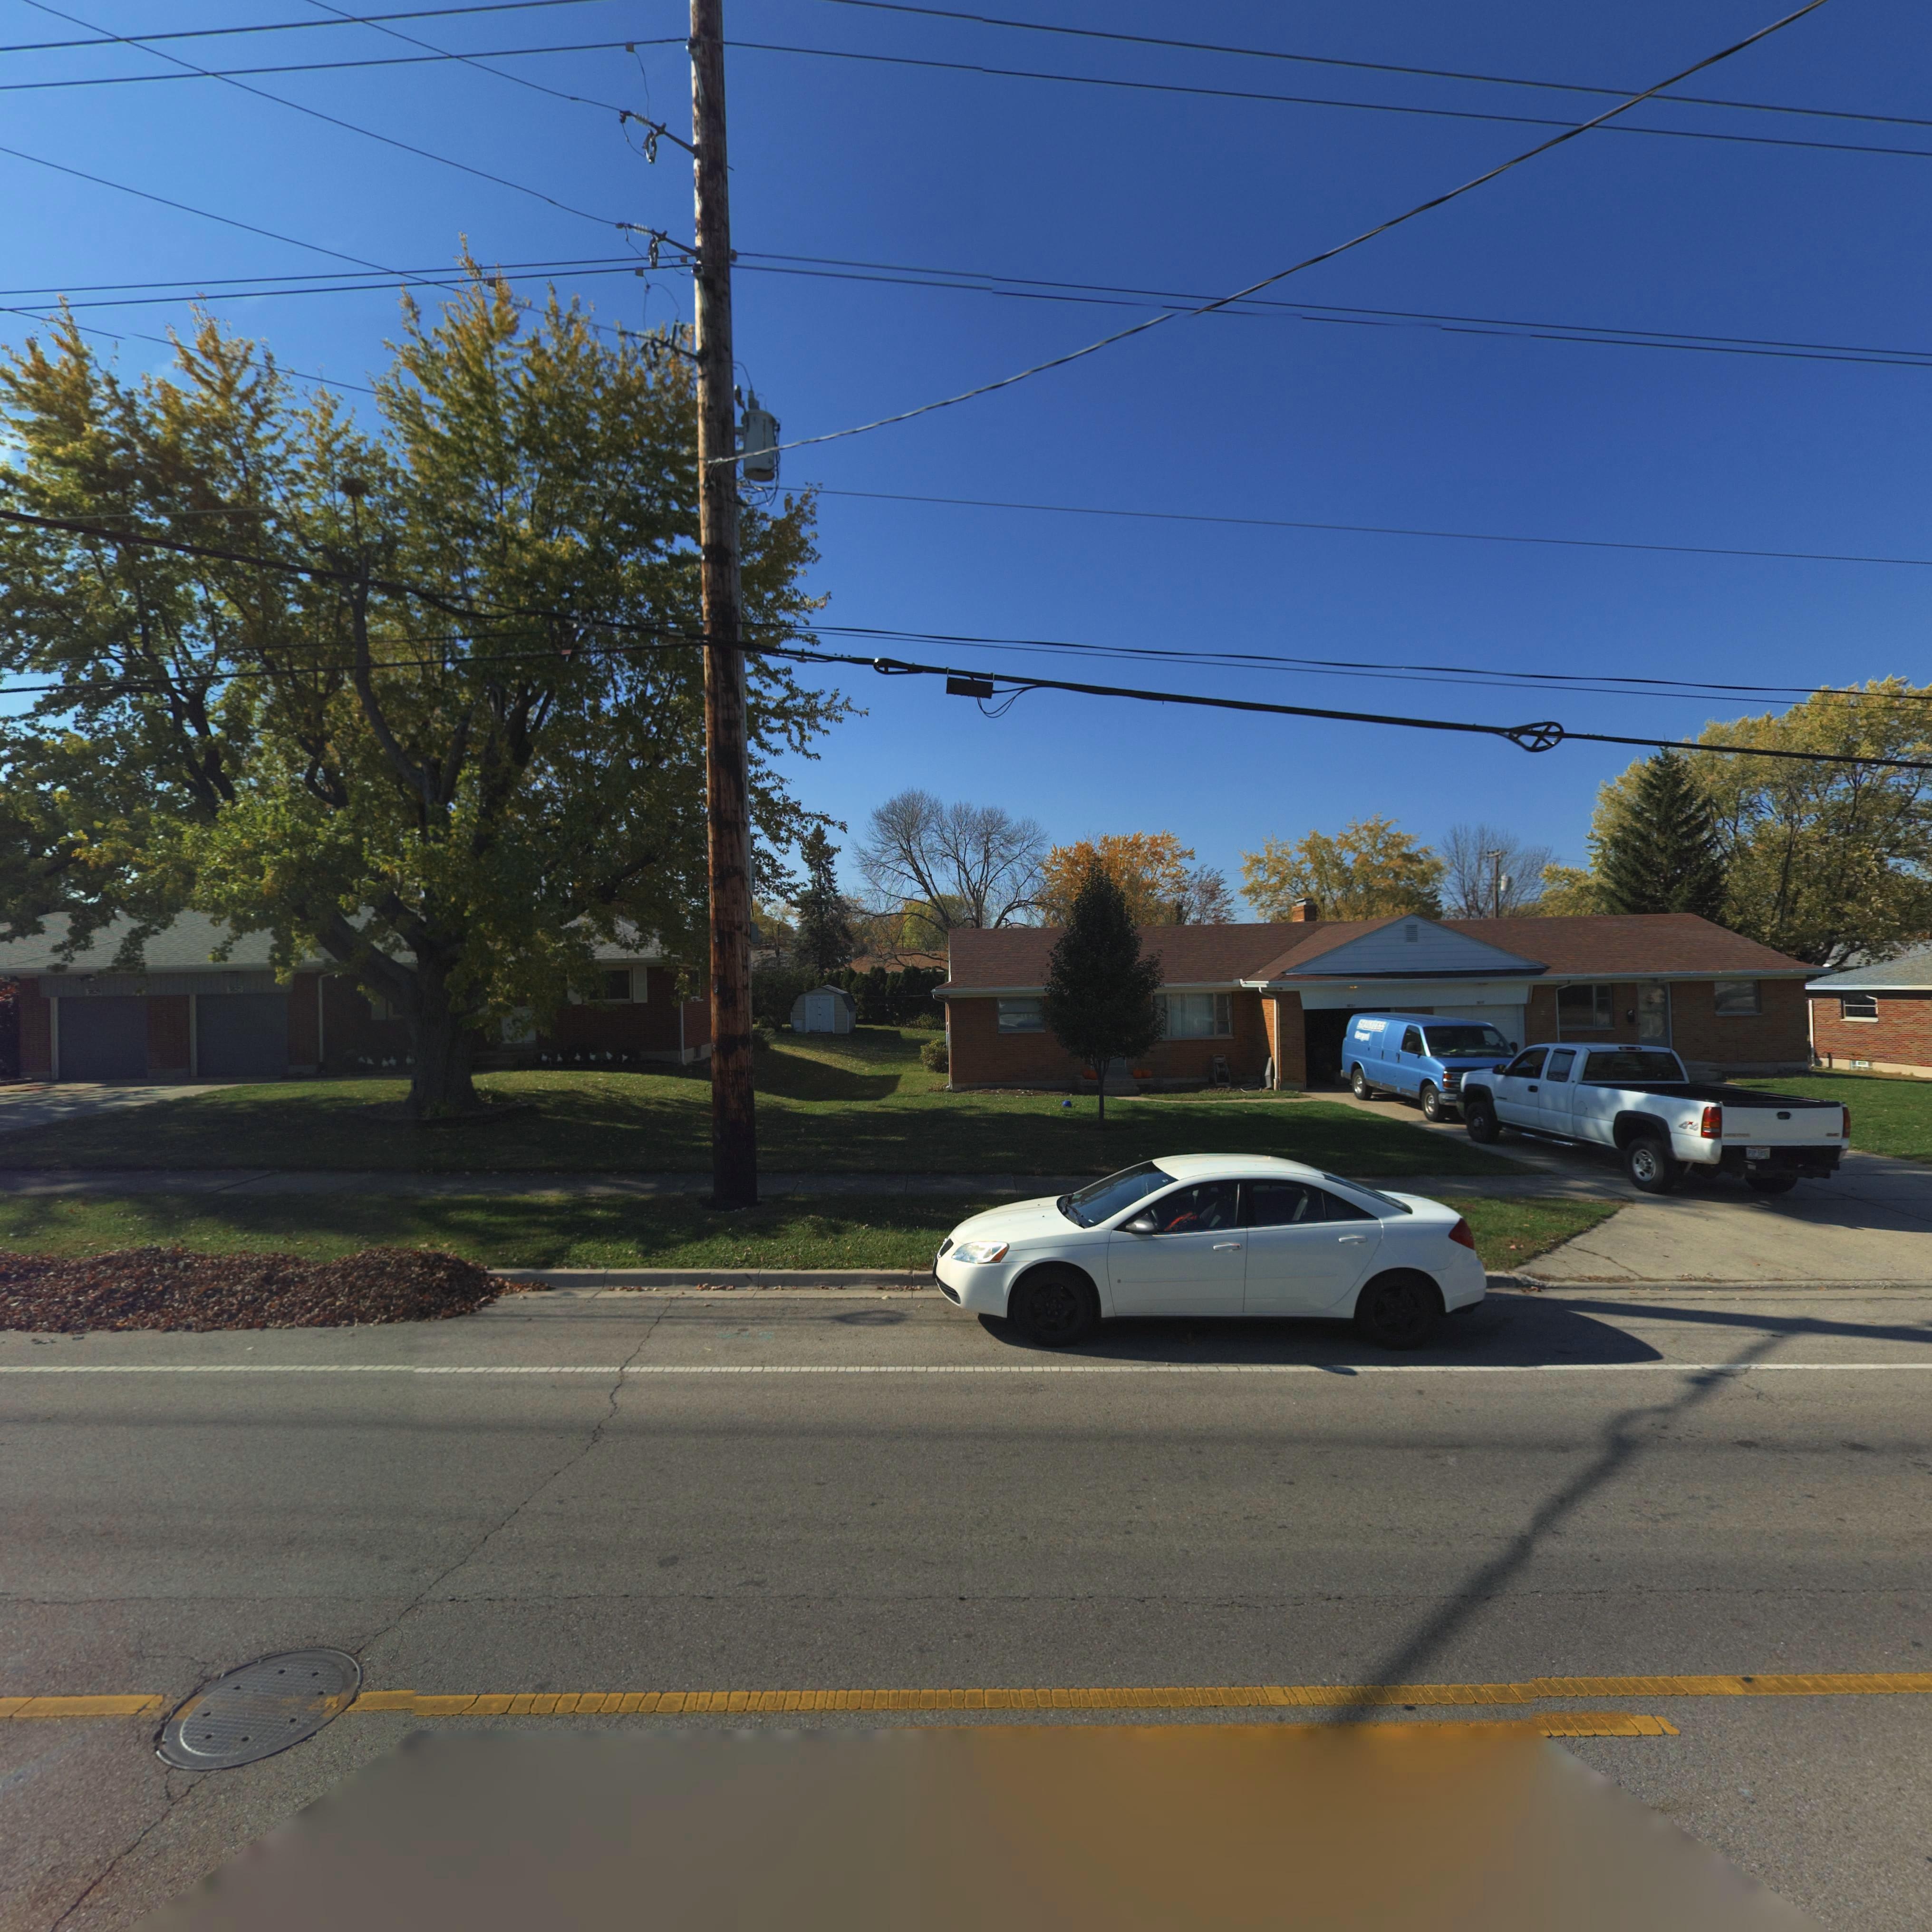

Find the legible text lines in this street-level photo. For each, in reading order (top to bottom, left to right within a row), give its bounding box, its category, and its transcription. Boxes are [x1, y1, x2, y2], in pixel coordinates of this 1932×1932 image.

[87, 989, 101, 995] StreetNumber: 3829
[228, 985, 242, 992] StreetNumber: 3825
[1346, 1004, 1356, 1008] StreetNumber: 3821
[1476, 1001, 1485, 1005] StreetNumber: 3817
[1355, 1019, 1388, 1033] None: STAINLESS
[1677, 1119, 1700, 1133] None: 4x4
[1723, 1133, 1750, 1139] None: SIERRA
[1826, 1132, 1839, 1137] None: GMC
[1748, 1150, 1769, 1156] None: PIP 5893